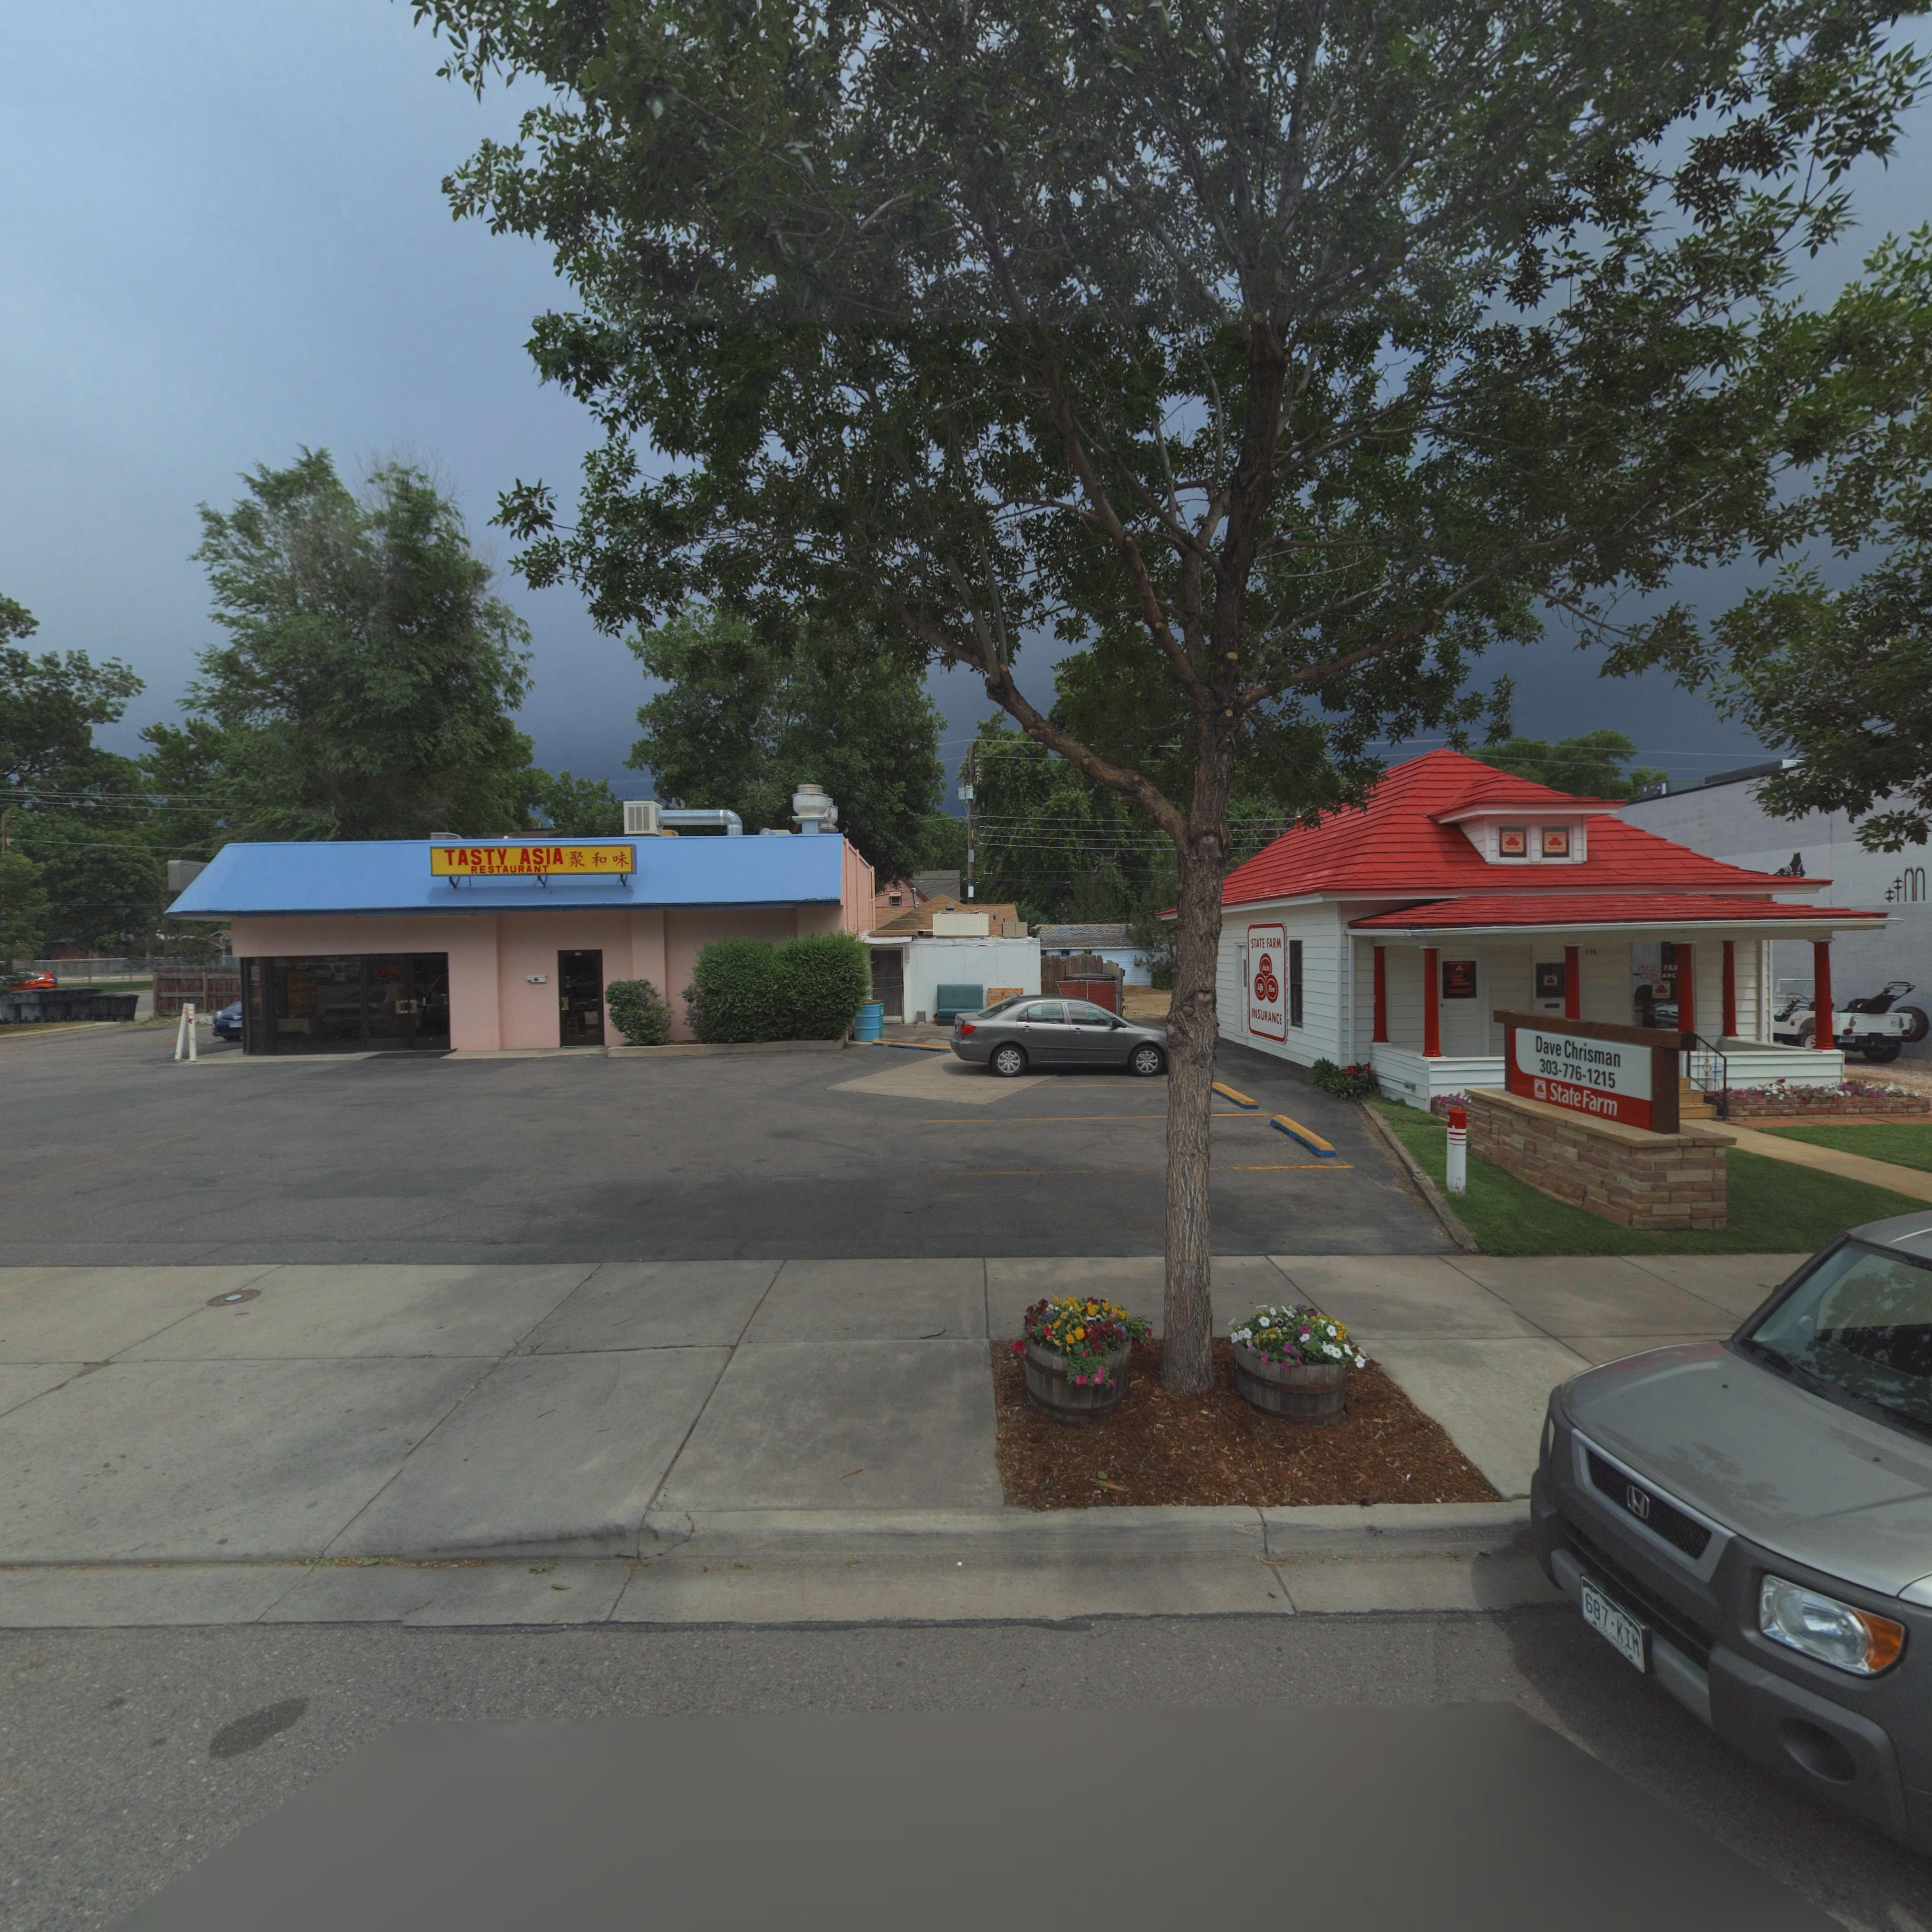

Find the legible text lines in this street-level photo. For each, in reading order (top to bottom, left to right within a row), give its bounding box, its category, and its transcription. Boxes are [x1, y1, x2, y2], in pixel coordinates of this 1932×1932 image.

[444, 848, 563, 866] BusinessName: TASTY ASIA
[471, 865, 549, 874] BusinessName: RESTAURANT
[1251, 938, 1281, 948] BusinessName: STATE FARM
[1584, 949, 1596, 955] StreetNumber: 728
[1638, 964, 1678, 972] BusinessName: STATE FAR
[1640, 972, 1676, 978] BusinessName: INSURANC
[1251, 1007, 1282, 1025] BusinessName: INSURANCE
[1549, 1082, 1618, 1116] BusinessName: StateFarm